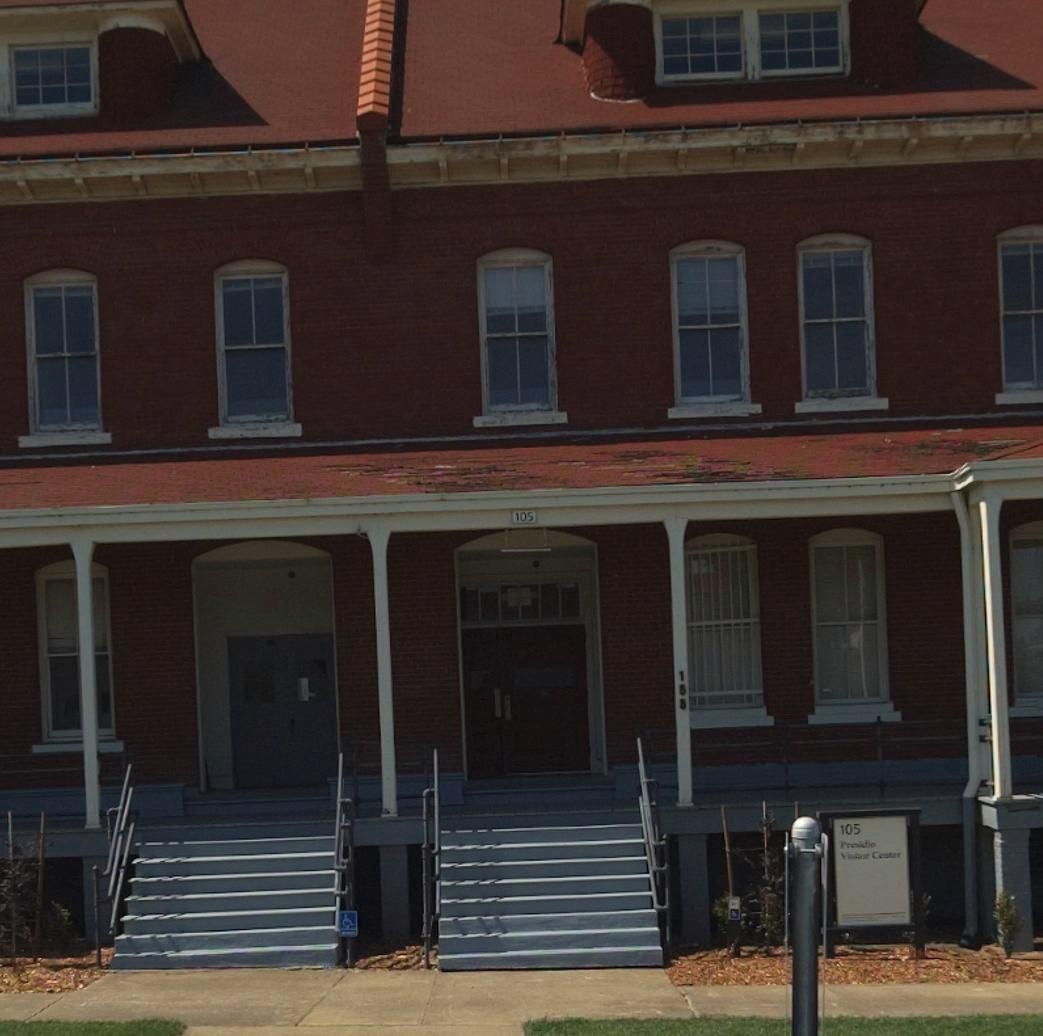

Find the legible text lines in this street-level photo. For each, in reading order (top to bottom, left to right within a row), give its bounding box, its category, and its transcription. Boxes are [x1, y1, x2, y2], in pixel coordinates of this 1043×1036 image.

[515, 510, 534, 522] StreetNumber: 105
[678, 669, 687, 712] StreetNumber: 1*5
[839, 823, 861, 836] StreetNumber: 105